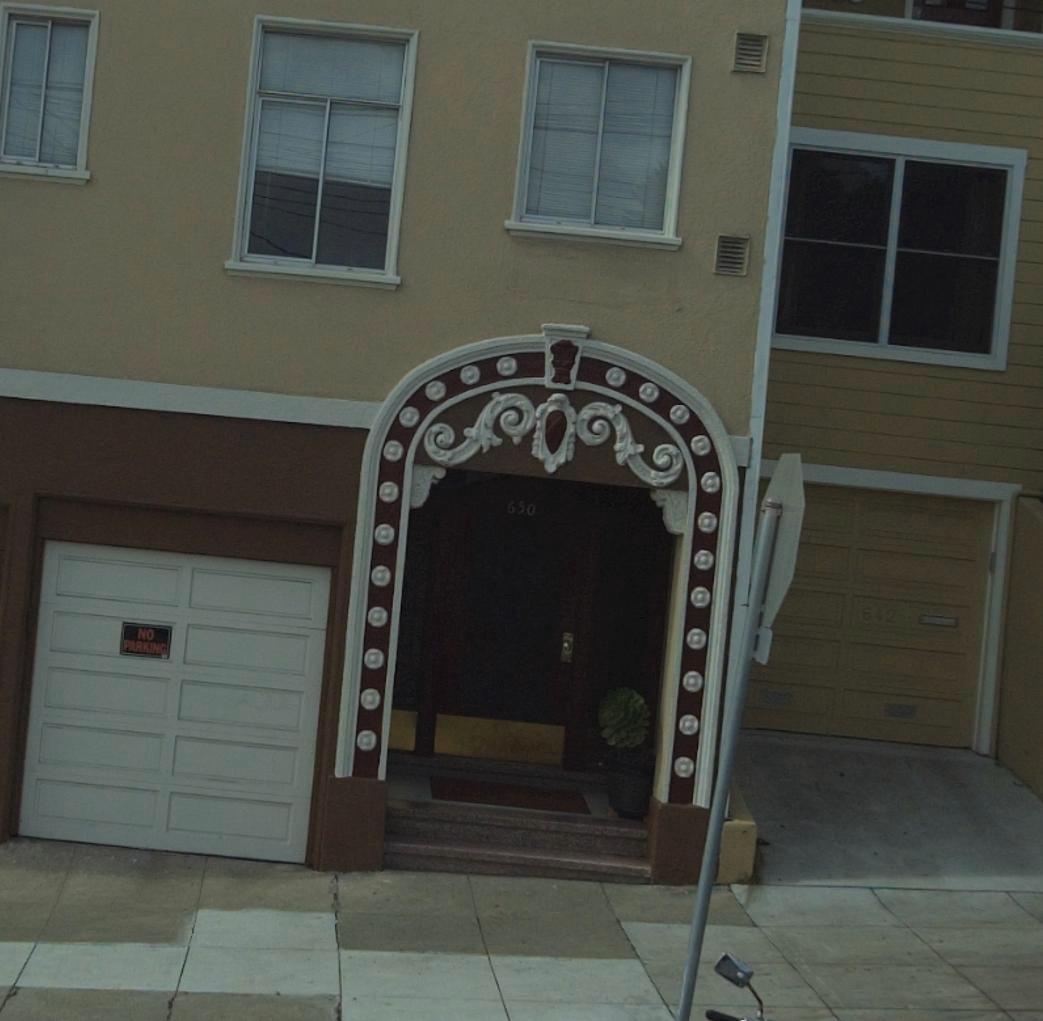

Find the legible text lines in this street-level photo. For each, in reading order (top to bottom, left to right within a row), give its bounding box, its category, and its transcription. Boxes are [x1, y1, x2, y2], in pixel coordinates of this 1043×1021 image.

[506, 498, 537, 518] StreetNumber: 650
[859, 604, 899, 625] StreetNumber: 642
[135, 626, 156, 642] None: NO
[121, 638, 168, 656] None: PARKING